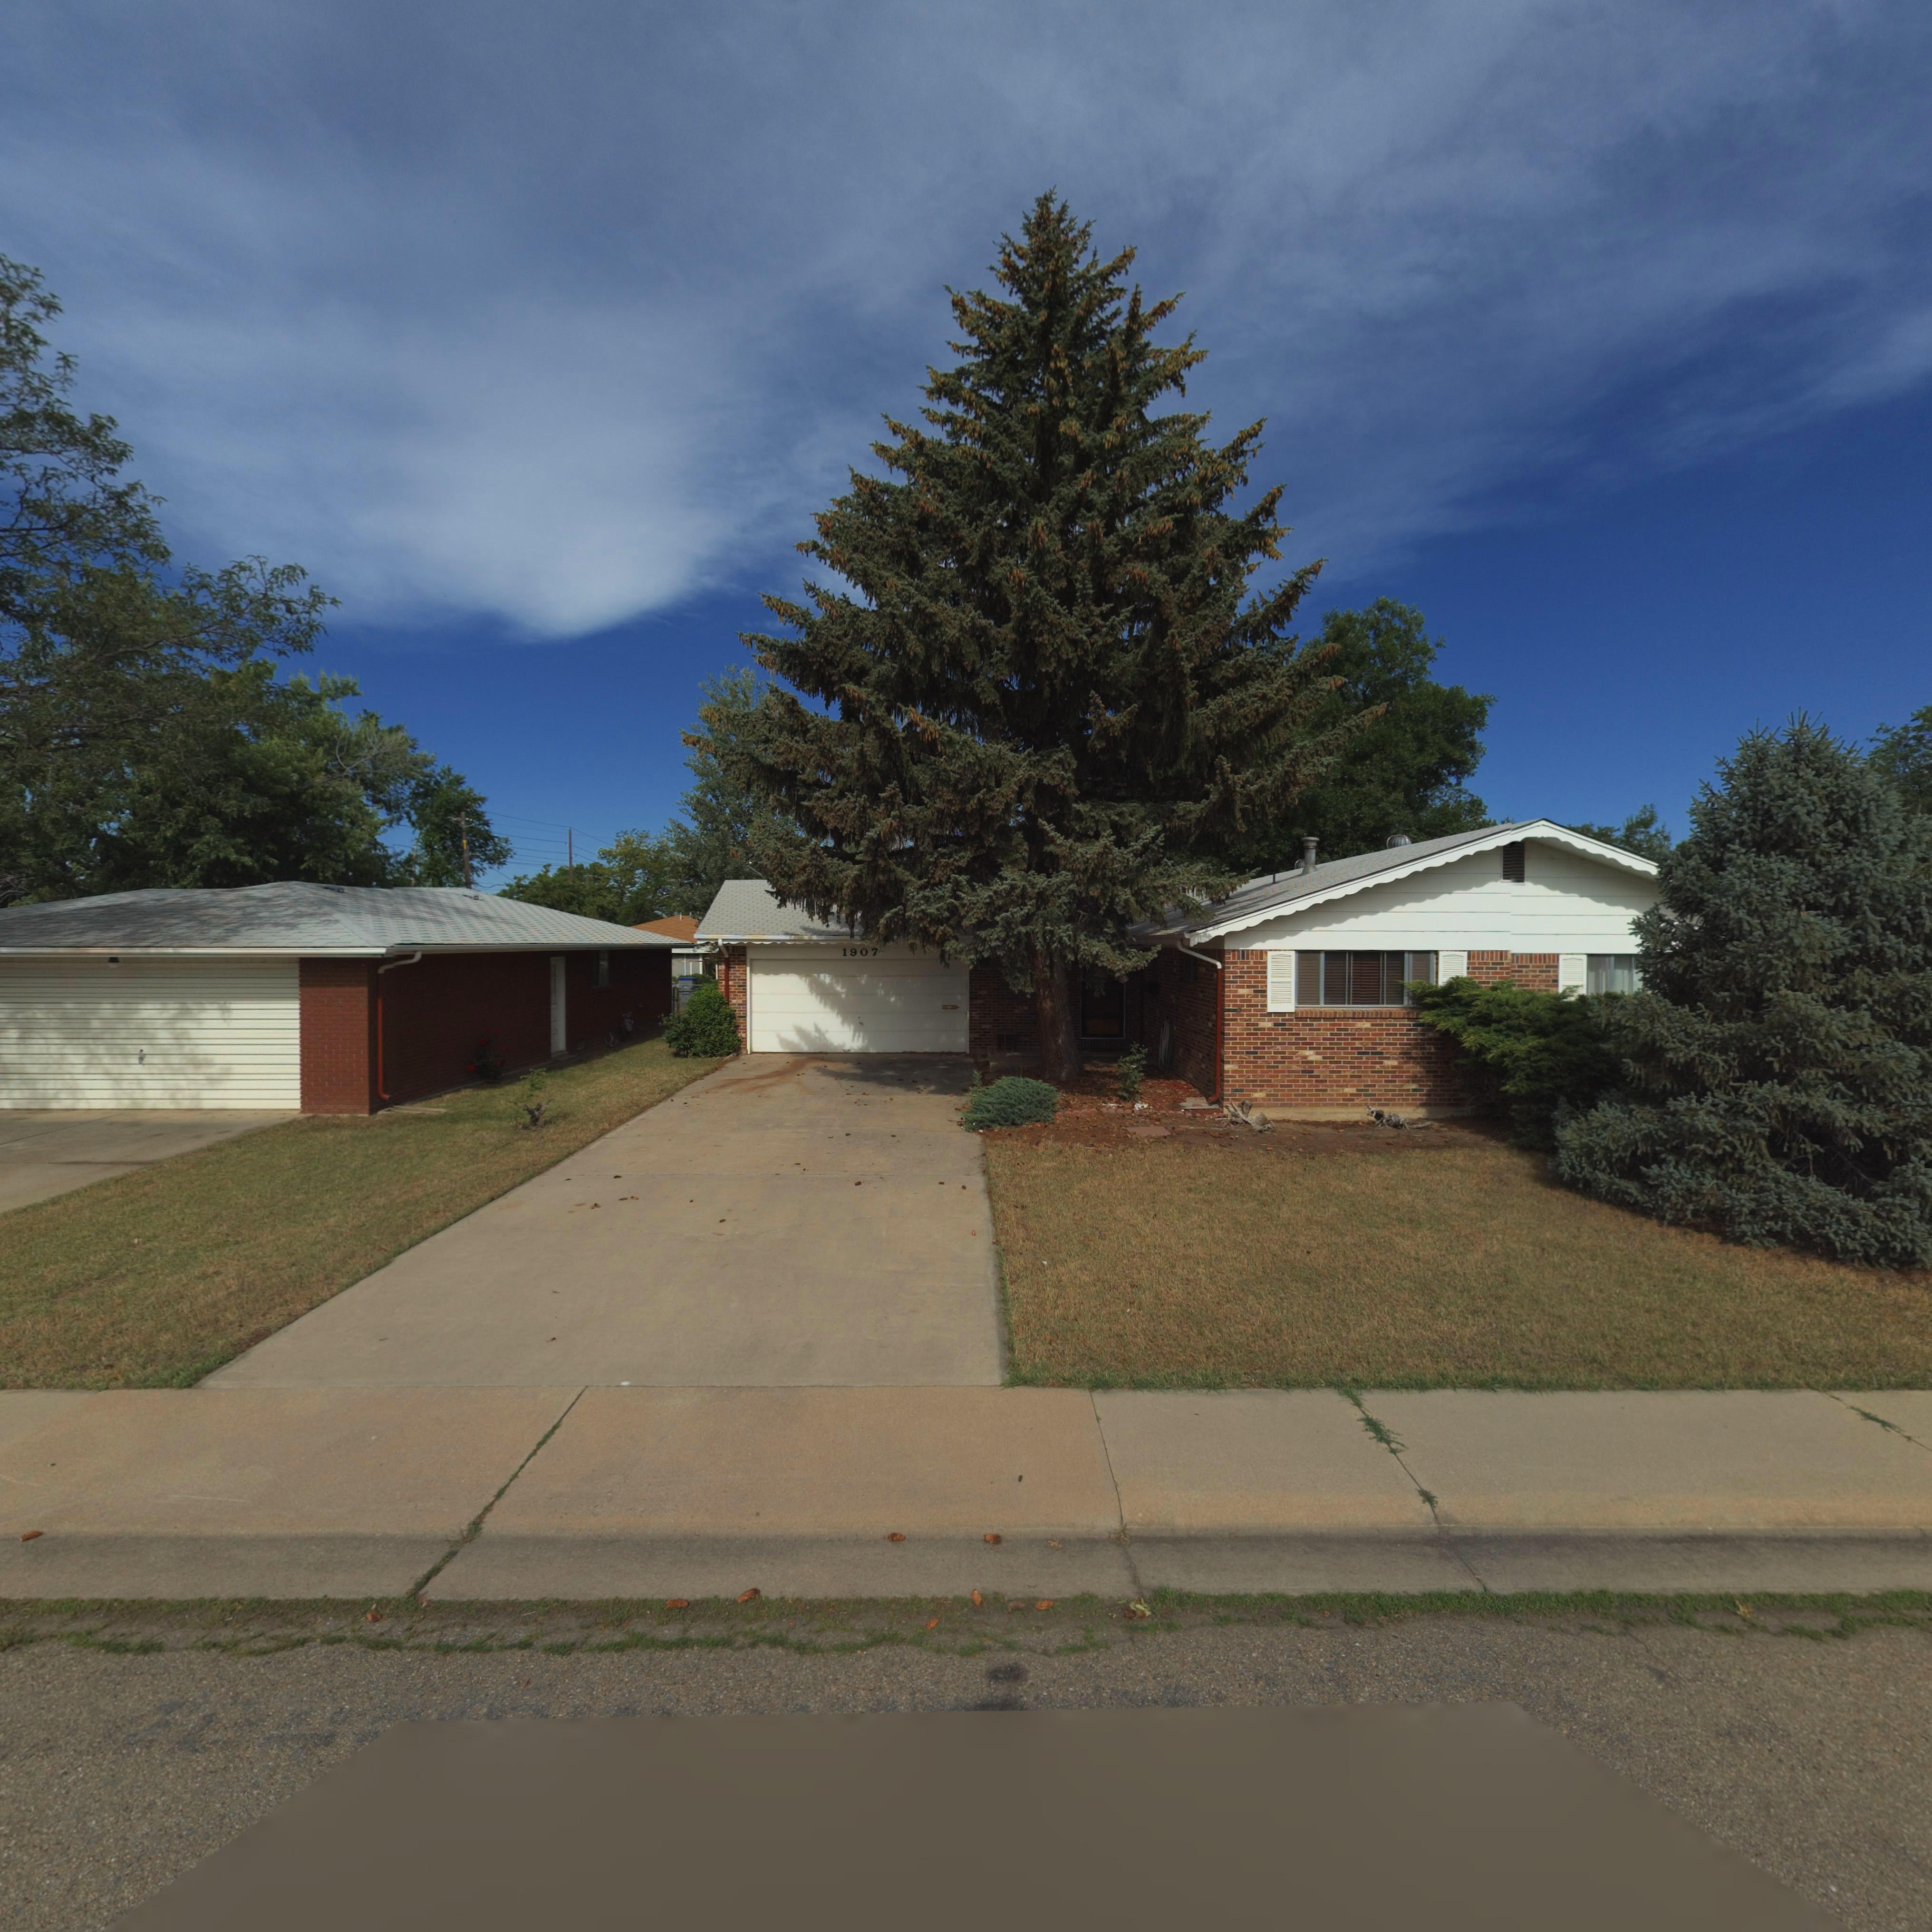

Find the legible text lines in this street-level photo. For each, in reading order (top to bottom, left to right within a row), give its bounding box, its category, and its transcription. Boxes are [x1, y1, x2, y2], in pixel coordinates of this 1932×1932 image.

[842, 947, 878, 956] StreetNumber: 1907